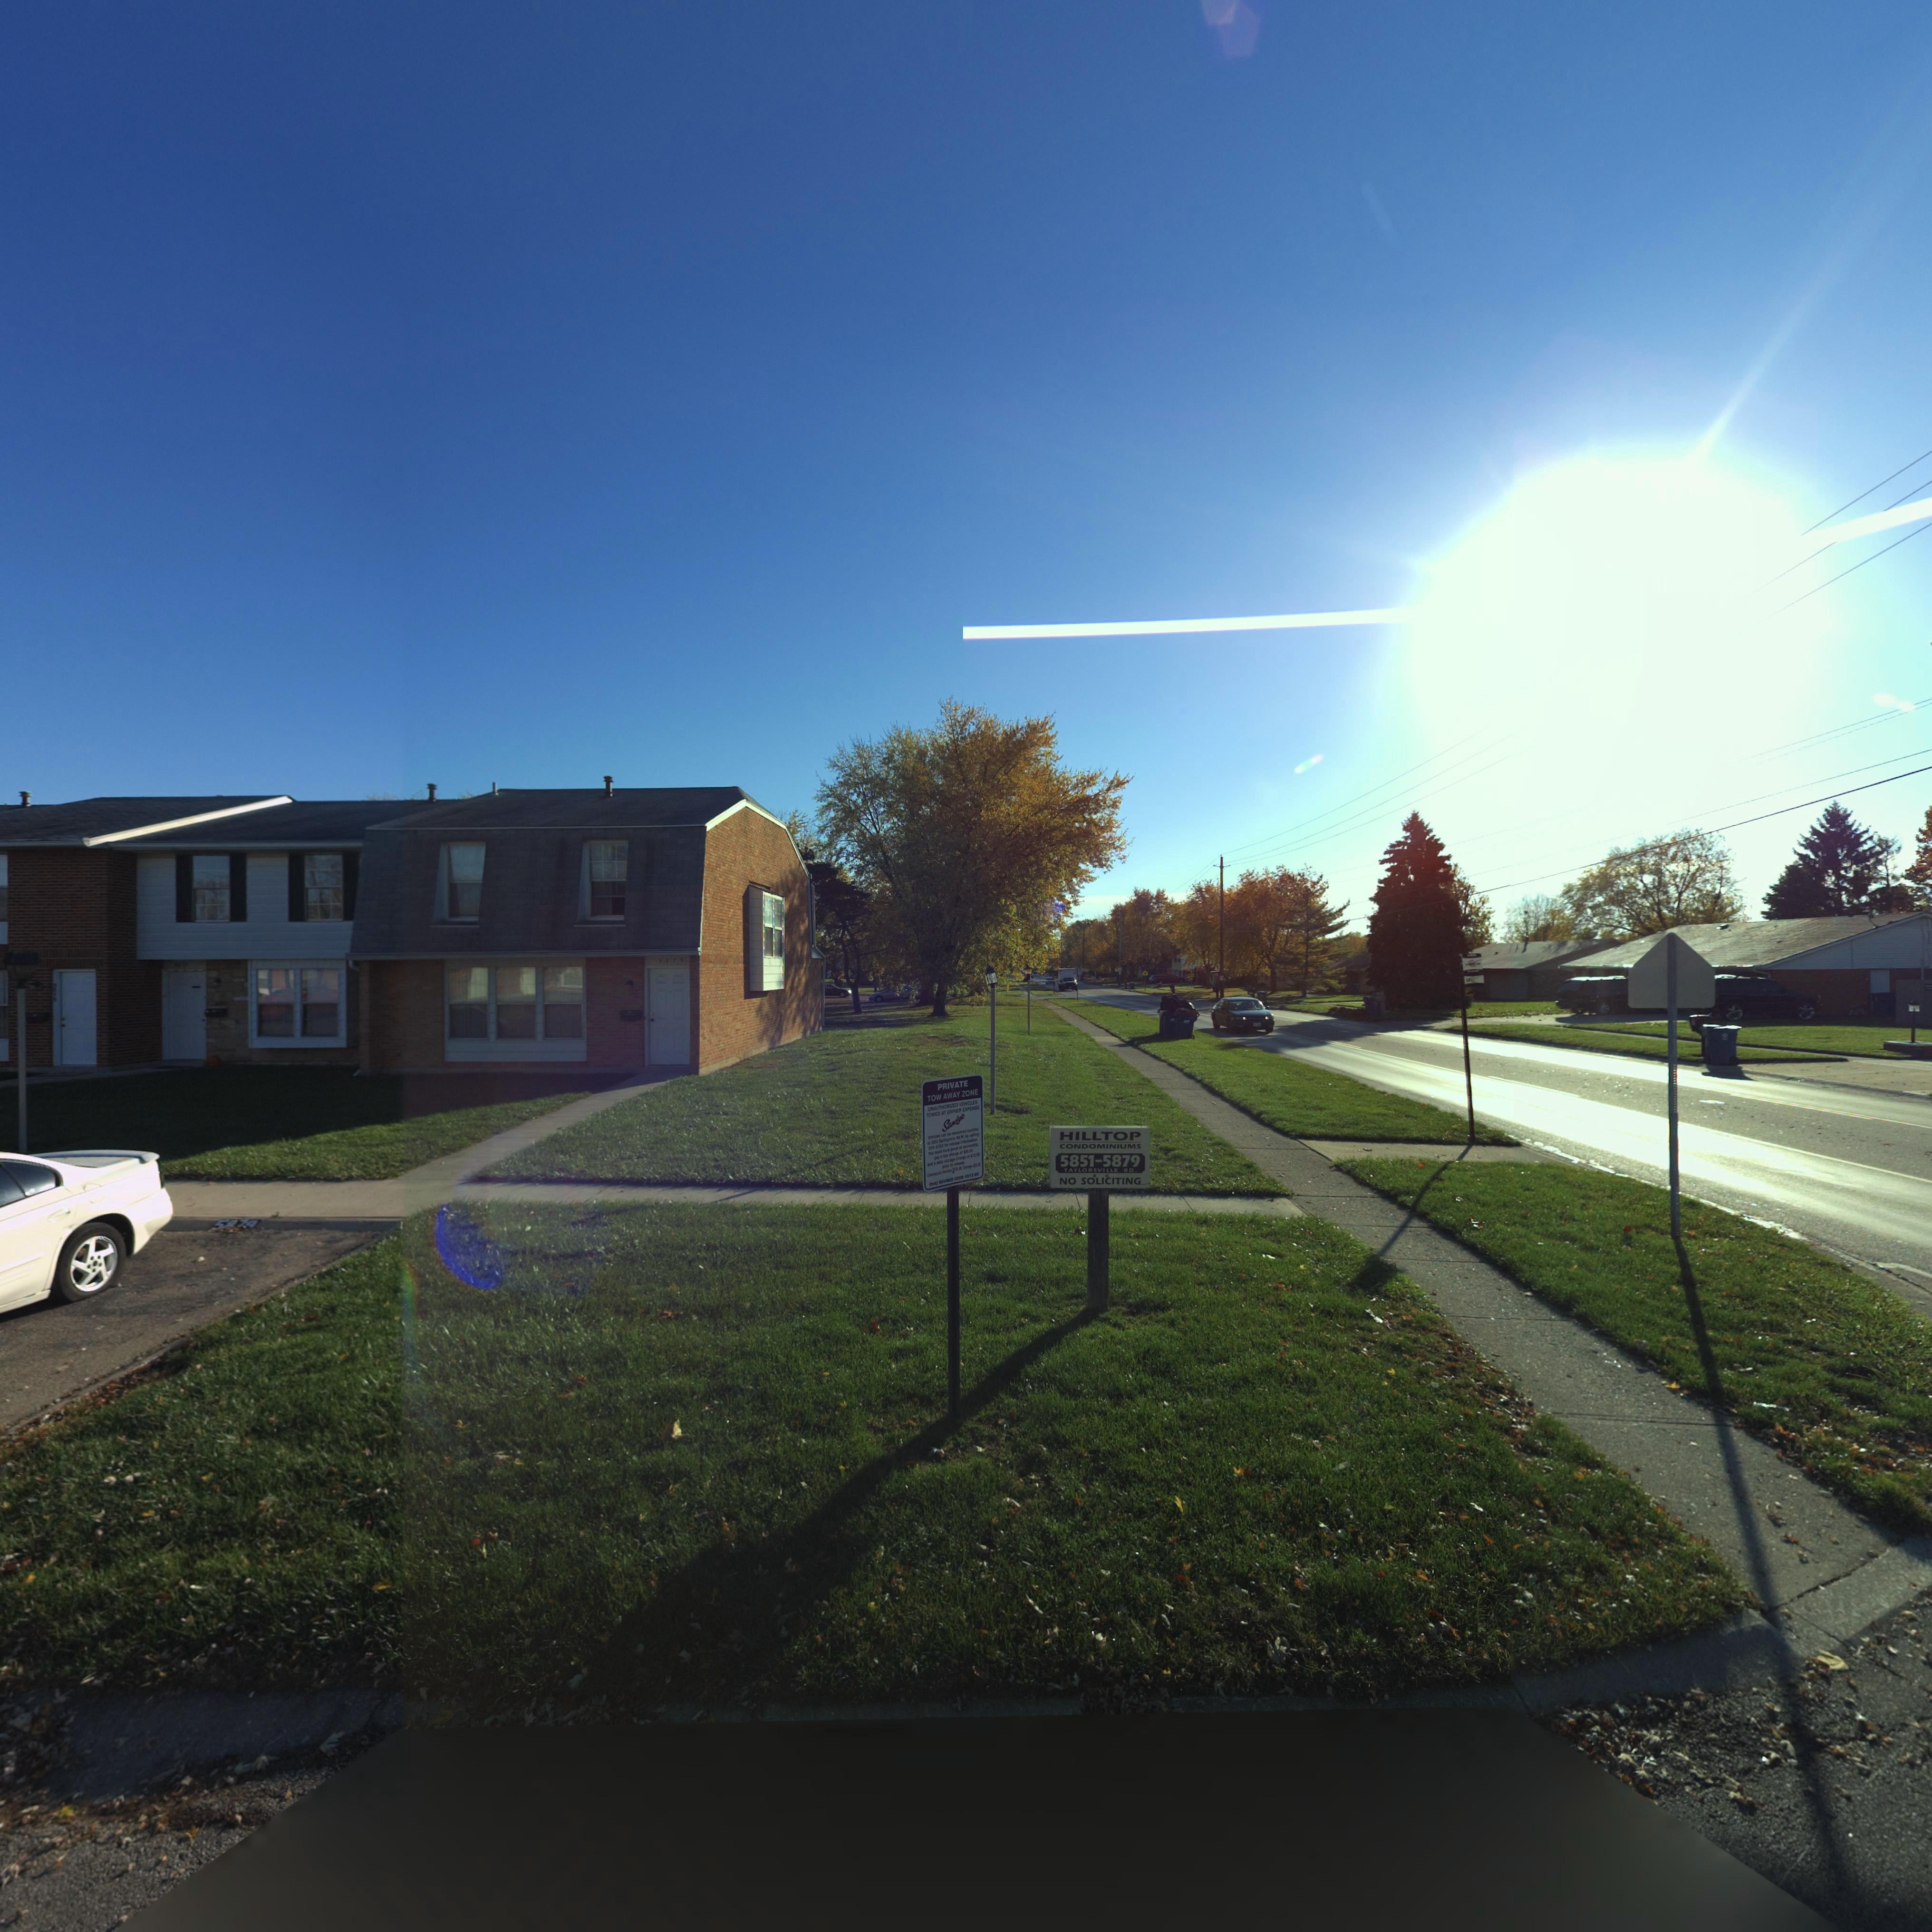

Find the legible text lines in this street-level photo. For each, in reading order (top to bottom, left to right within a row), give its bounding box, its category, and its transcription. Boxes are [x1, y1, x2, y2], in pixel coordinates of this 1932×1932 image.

[657, 957, 685, 965] StreetNumber: 5879